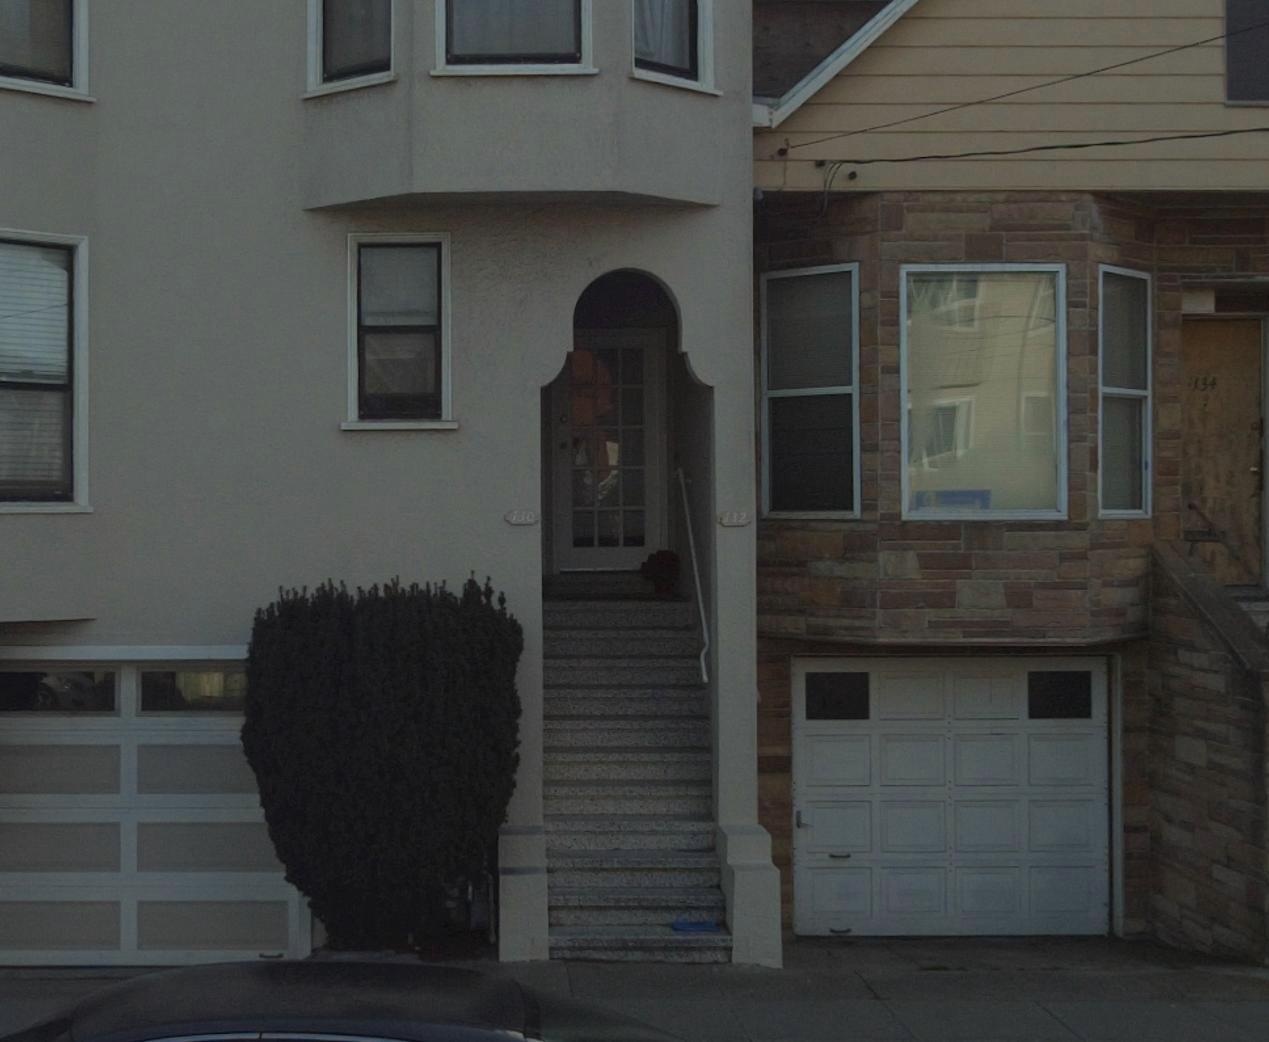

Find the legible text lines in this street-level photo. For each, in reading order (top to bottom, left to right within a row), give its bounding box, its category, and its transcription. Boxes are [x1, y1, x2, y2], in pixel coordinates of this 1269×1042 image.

[510, 509, 536, 524] StreetNumber: 130
[722, 510, 748, 525] StreetNumber: 132